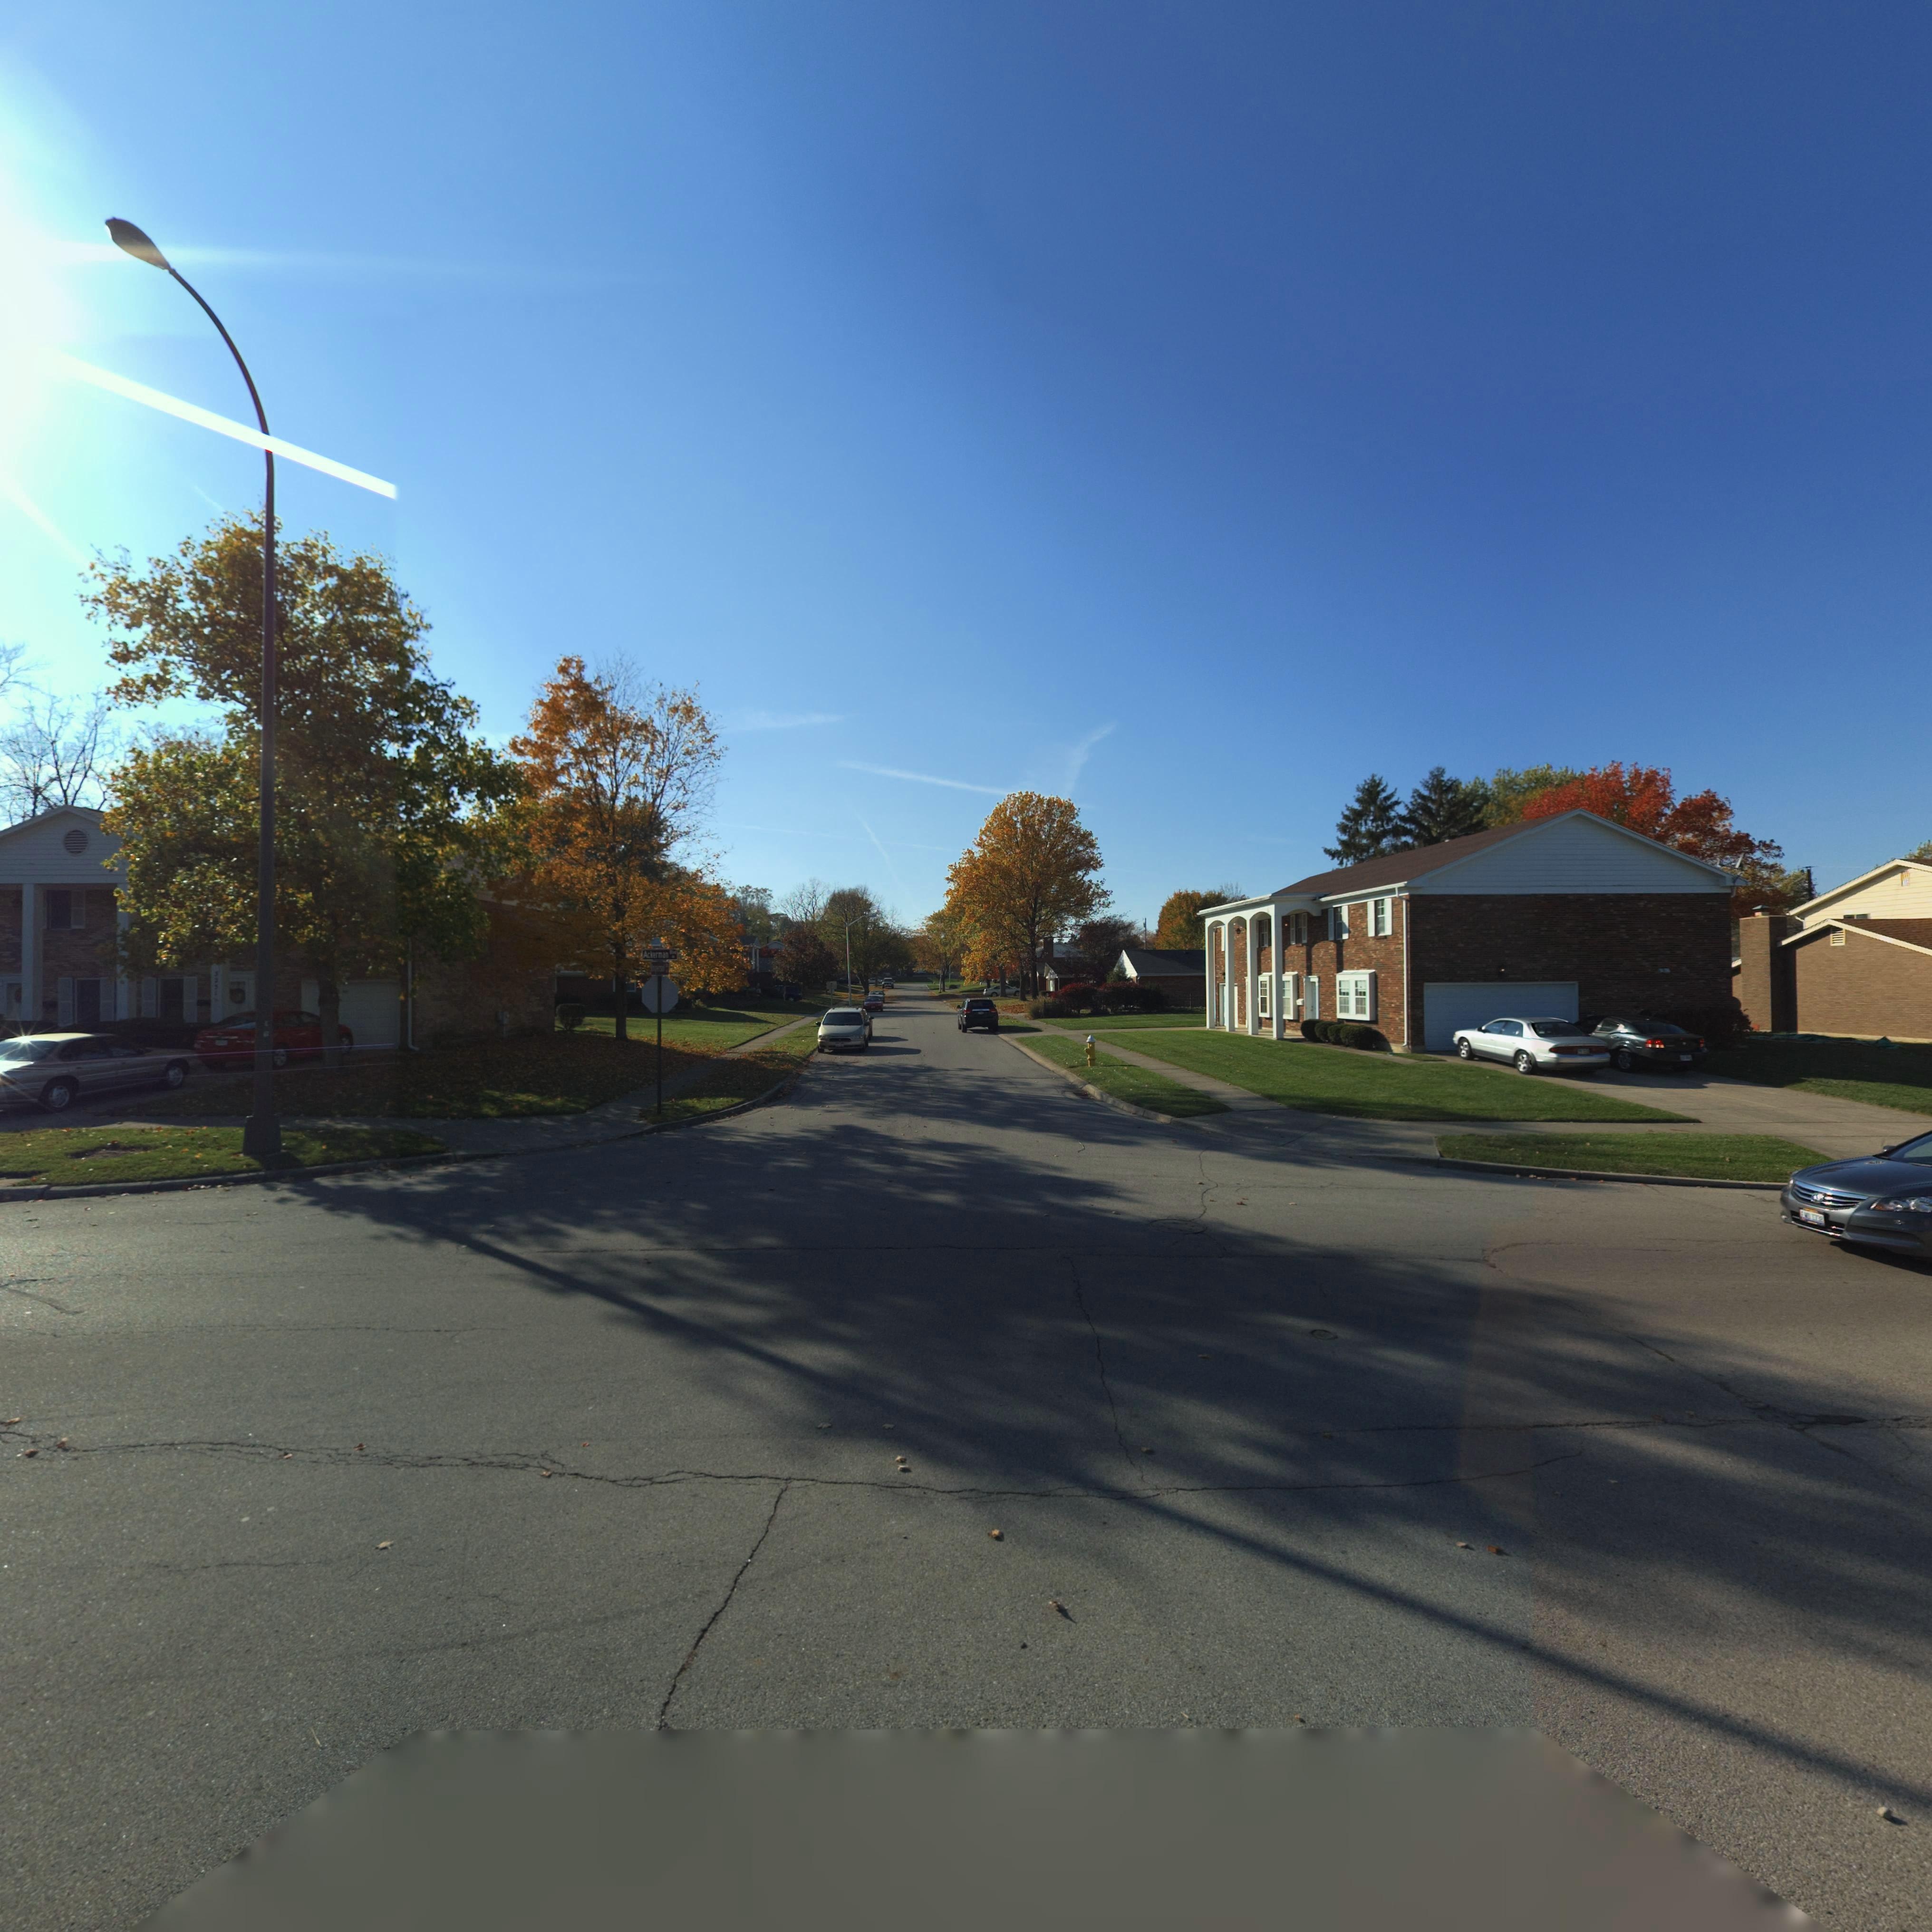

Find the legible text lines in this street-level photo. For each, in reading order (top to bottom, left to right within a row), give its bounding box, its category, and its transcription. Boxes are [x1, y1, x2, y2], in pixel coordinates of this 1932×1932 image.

[642, 950, 669, 959] StreetName: Ackerman
[213, 970, 219, 995] StreetNumber: 5351